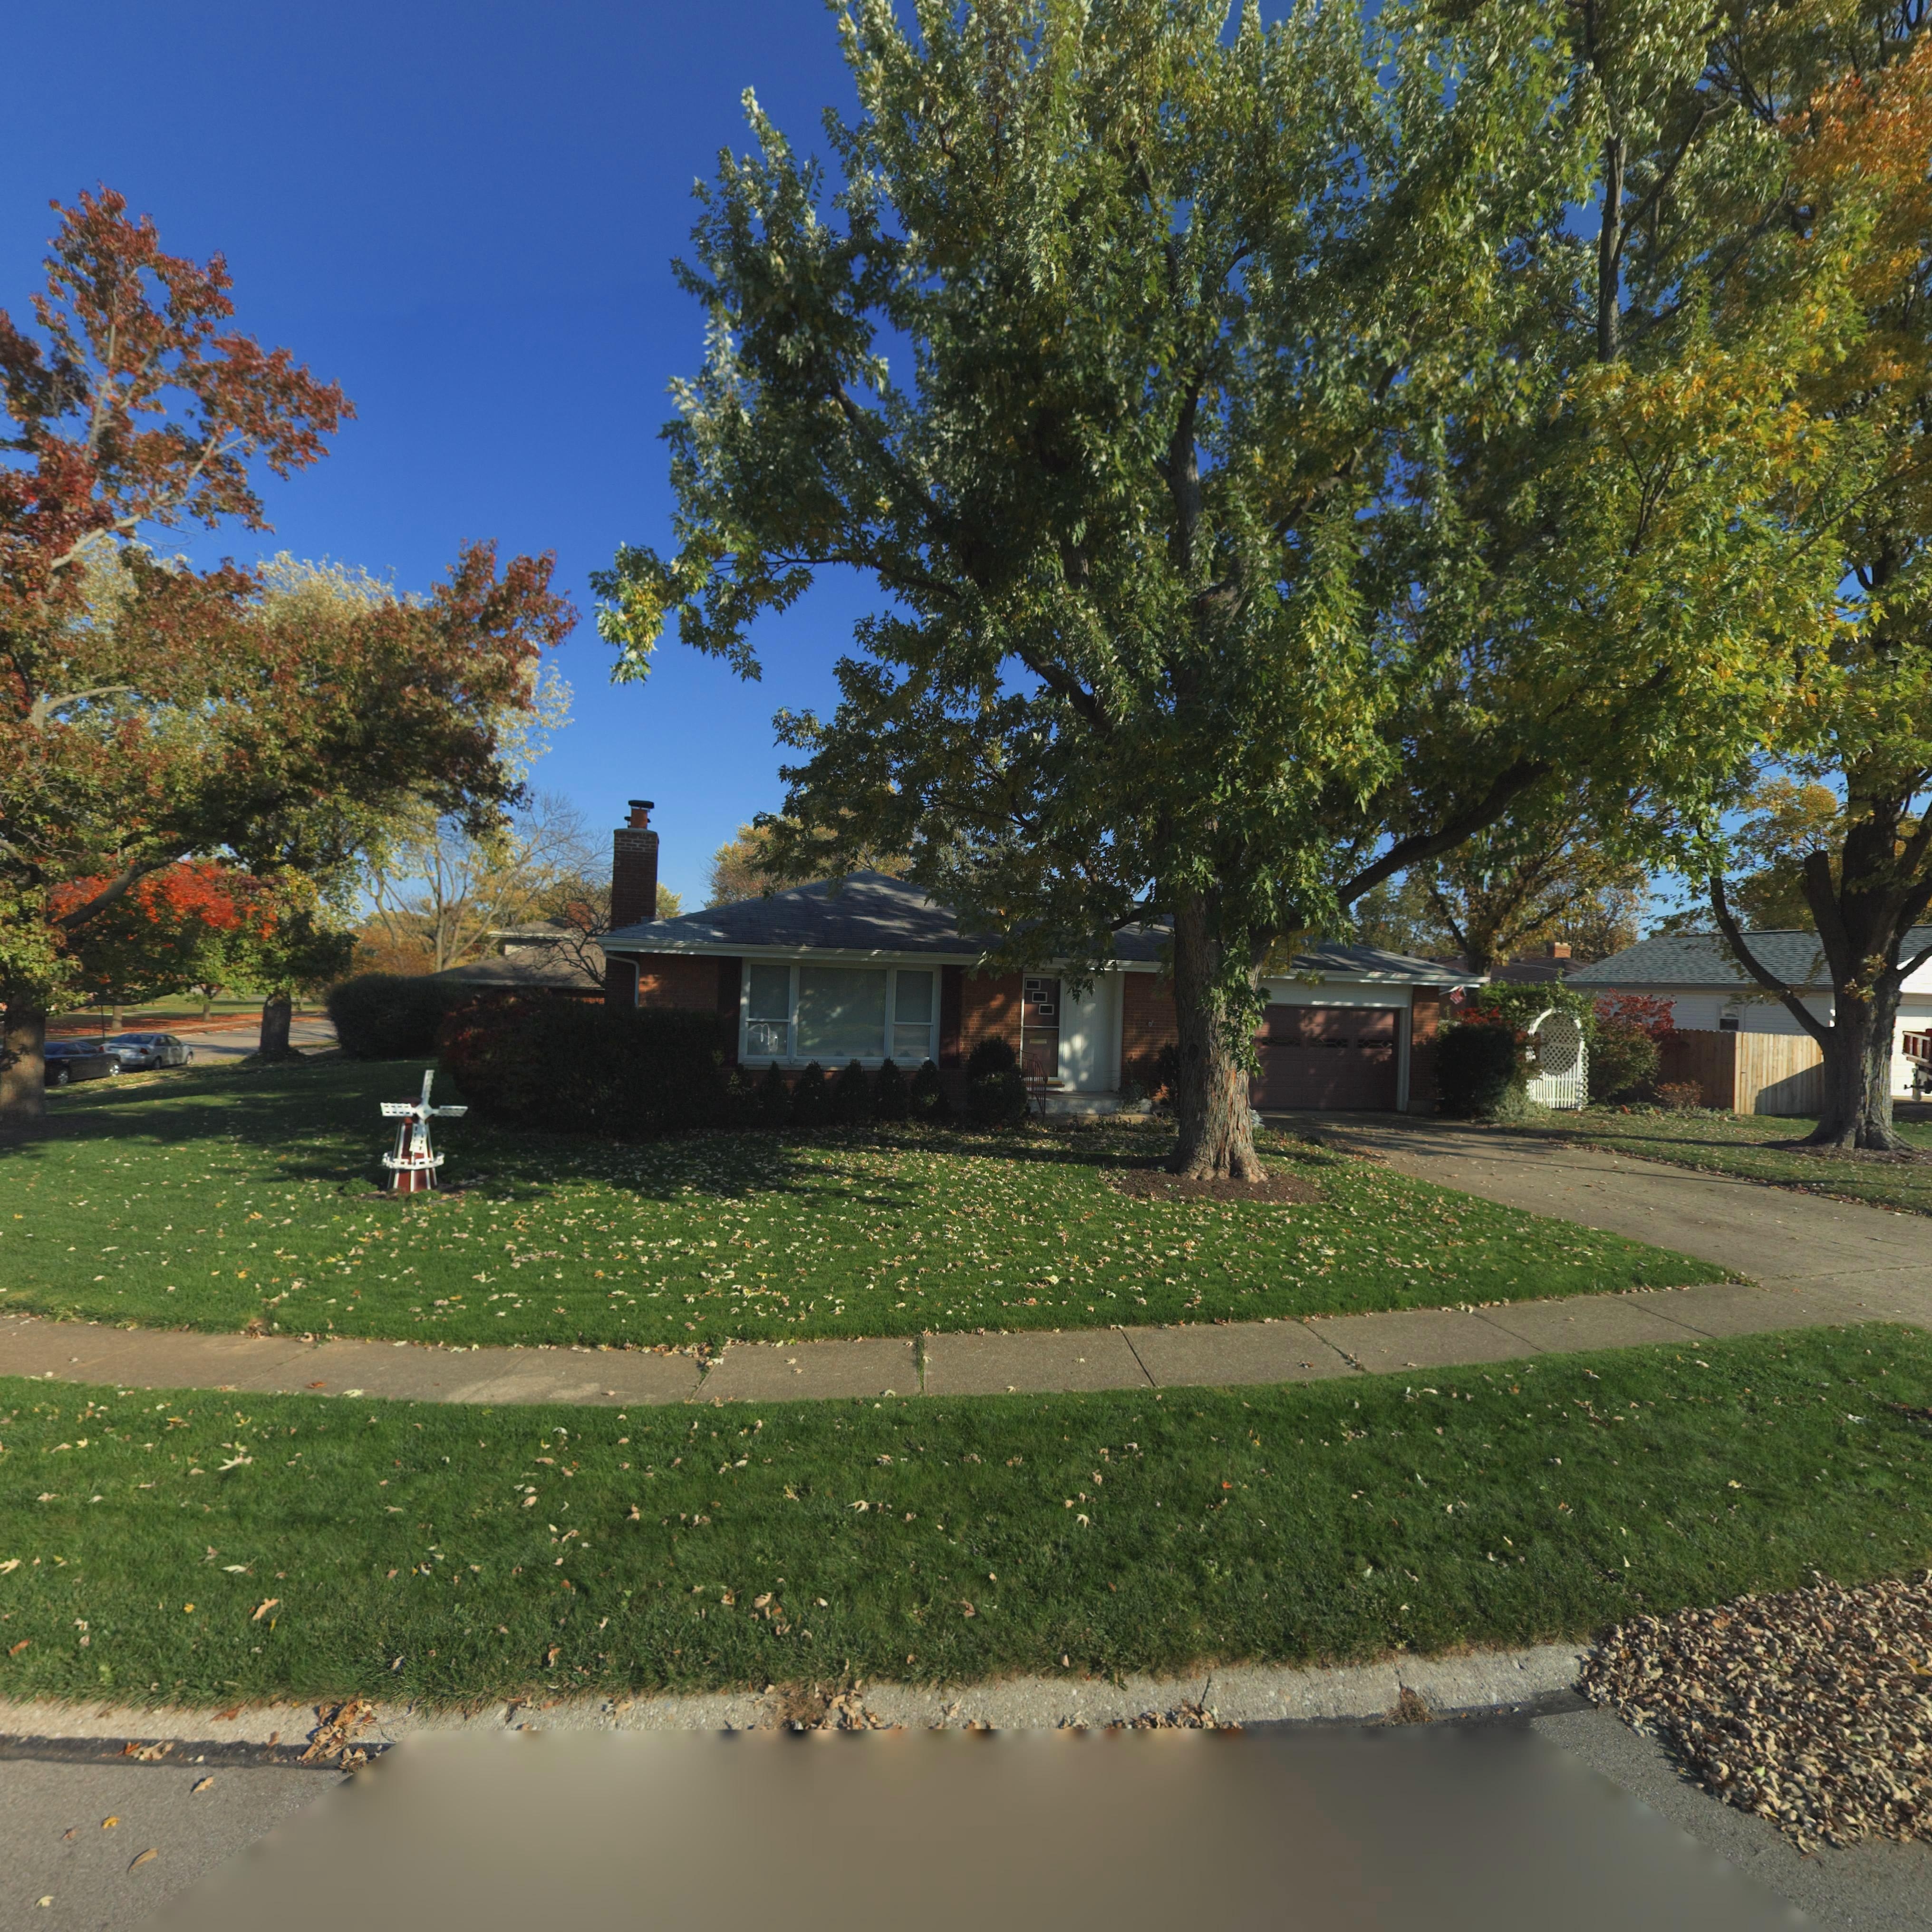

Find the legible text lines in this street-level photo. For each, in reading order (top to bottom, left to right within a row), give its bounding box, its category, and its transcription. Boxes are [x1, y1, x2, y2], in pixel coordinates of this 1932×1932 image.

[1077, 992, 1092, 1006] StreetNumber: 626